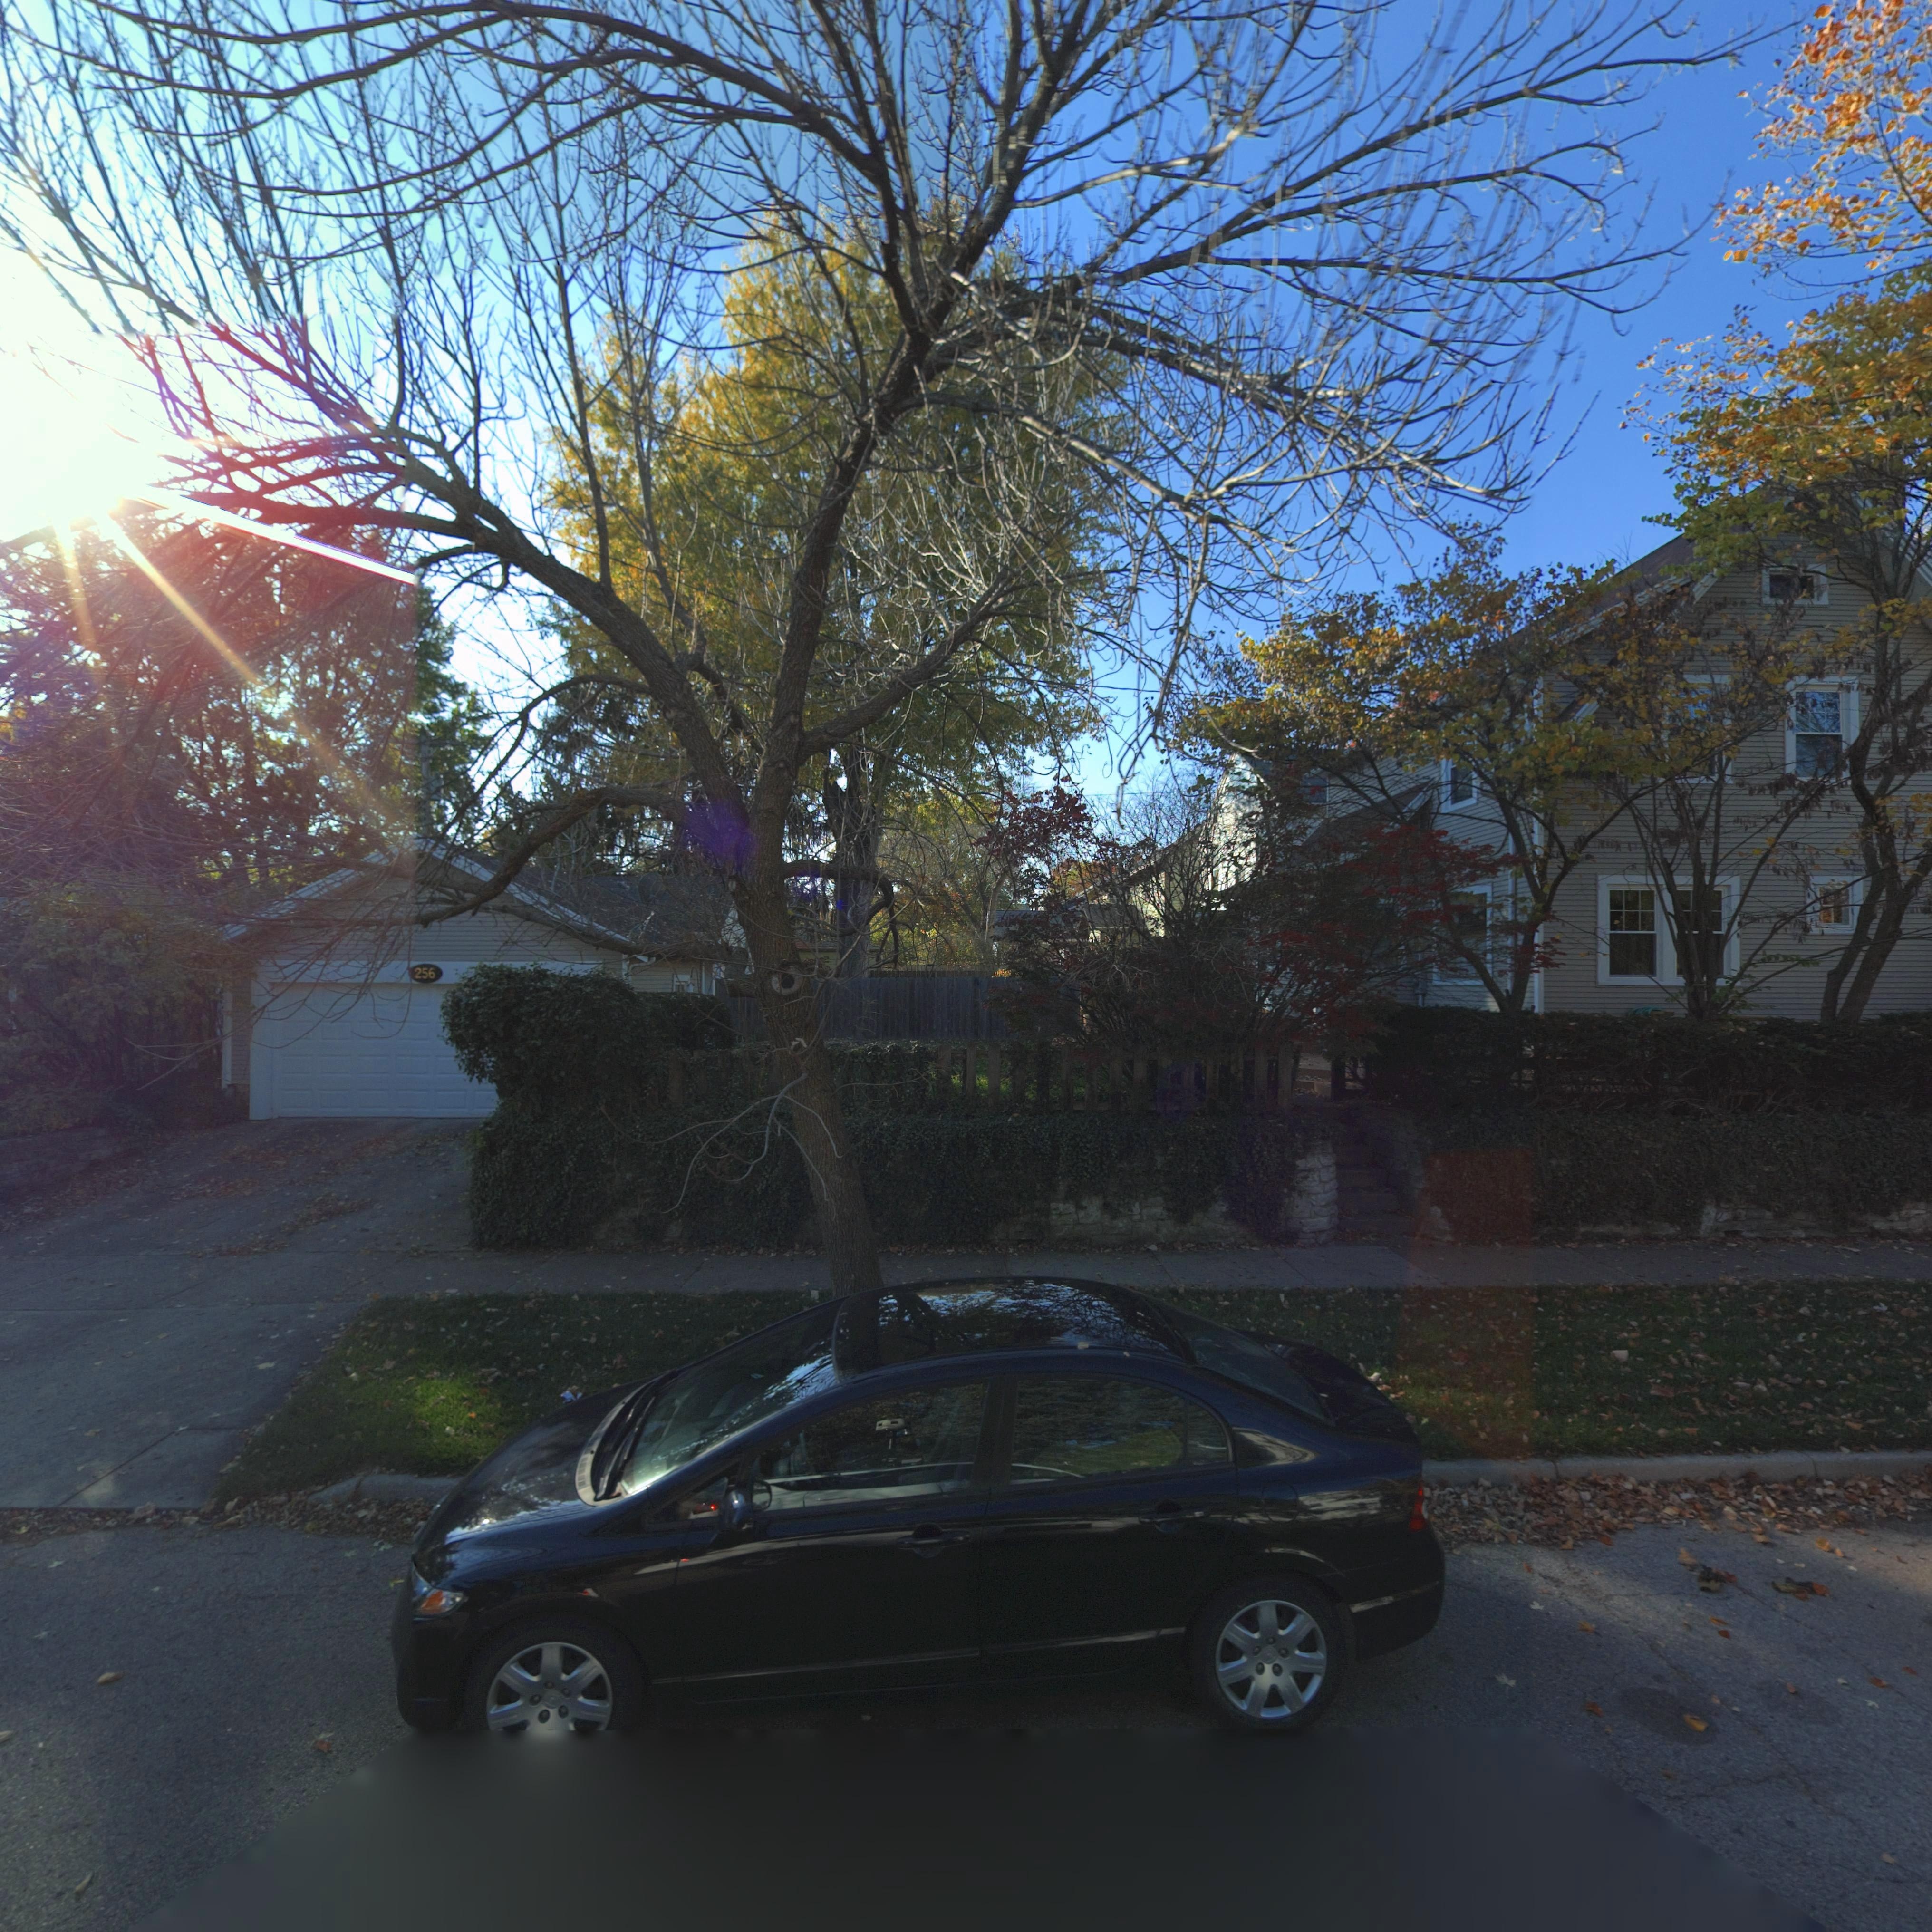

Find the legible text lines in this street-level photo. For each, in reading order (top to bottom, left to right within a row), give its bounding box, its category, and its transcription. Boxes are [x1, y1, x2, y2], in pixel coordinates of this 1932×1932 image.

[414, 966, 436, 980] StreetNumber: 256